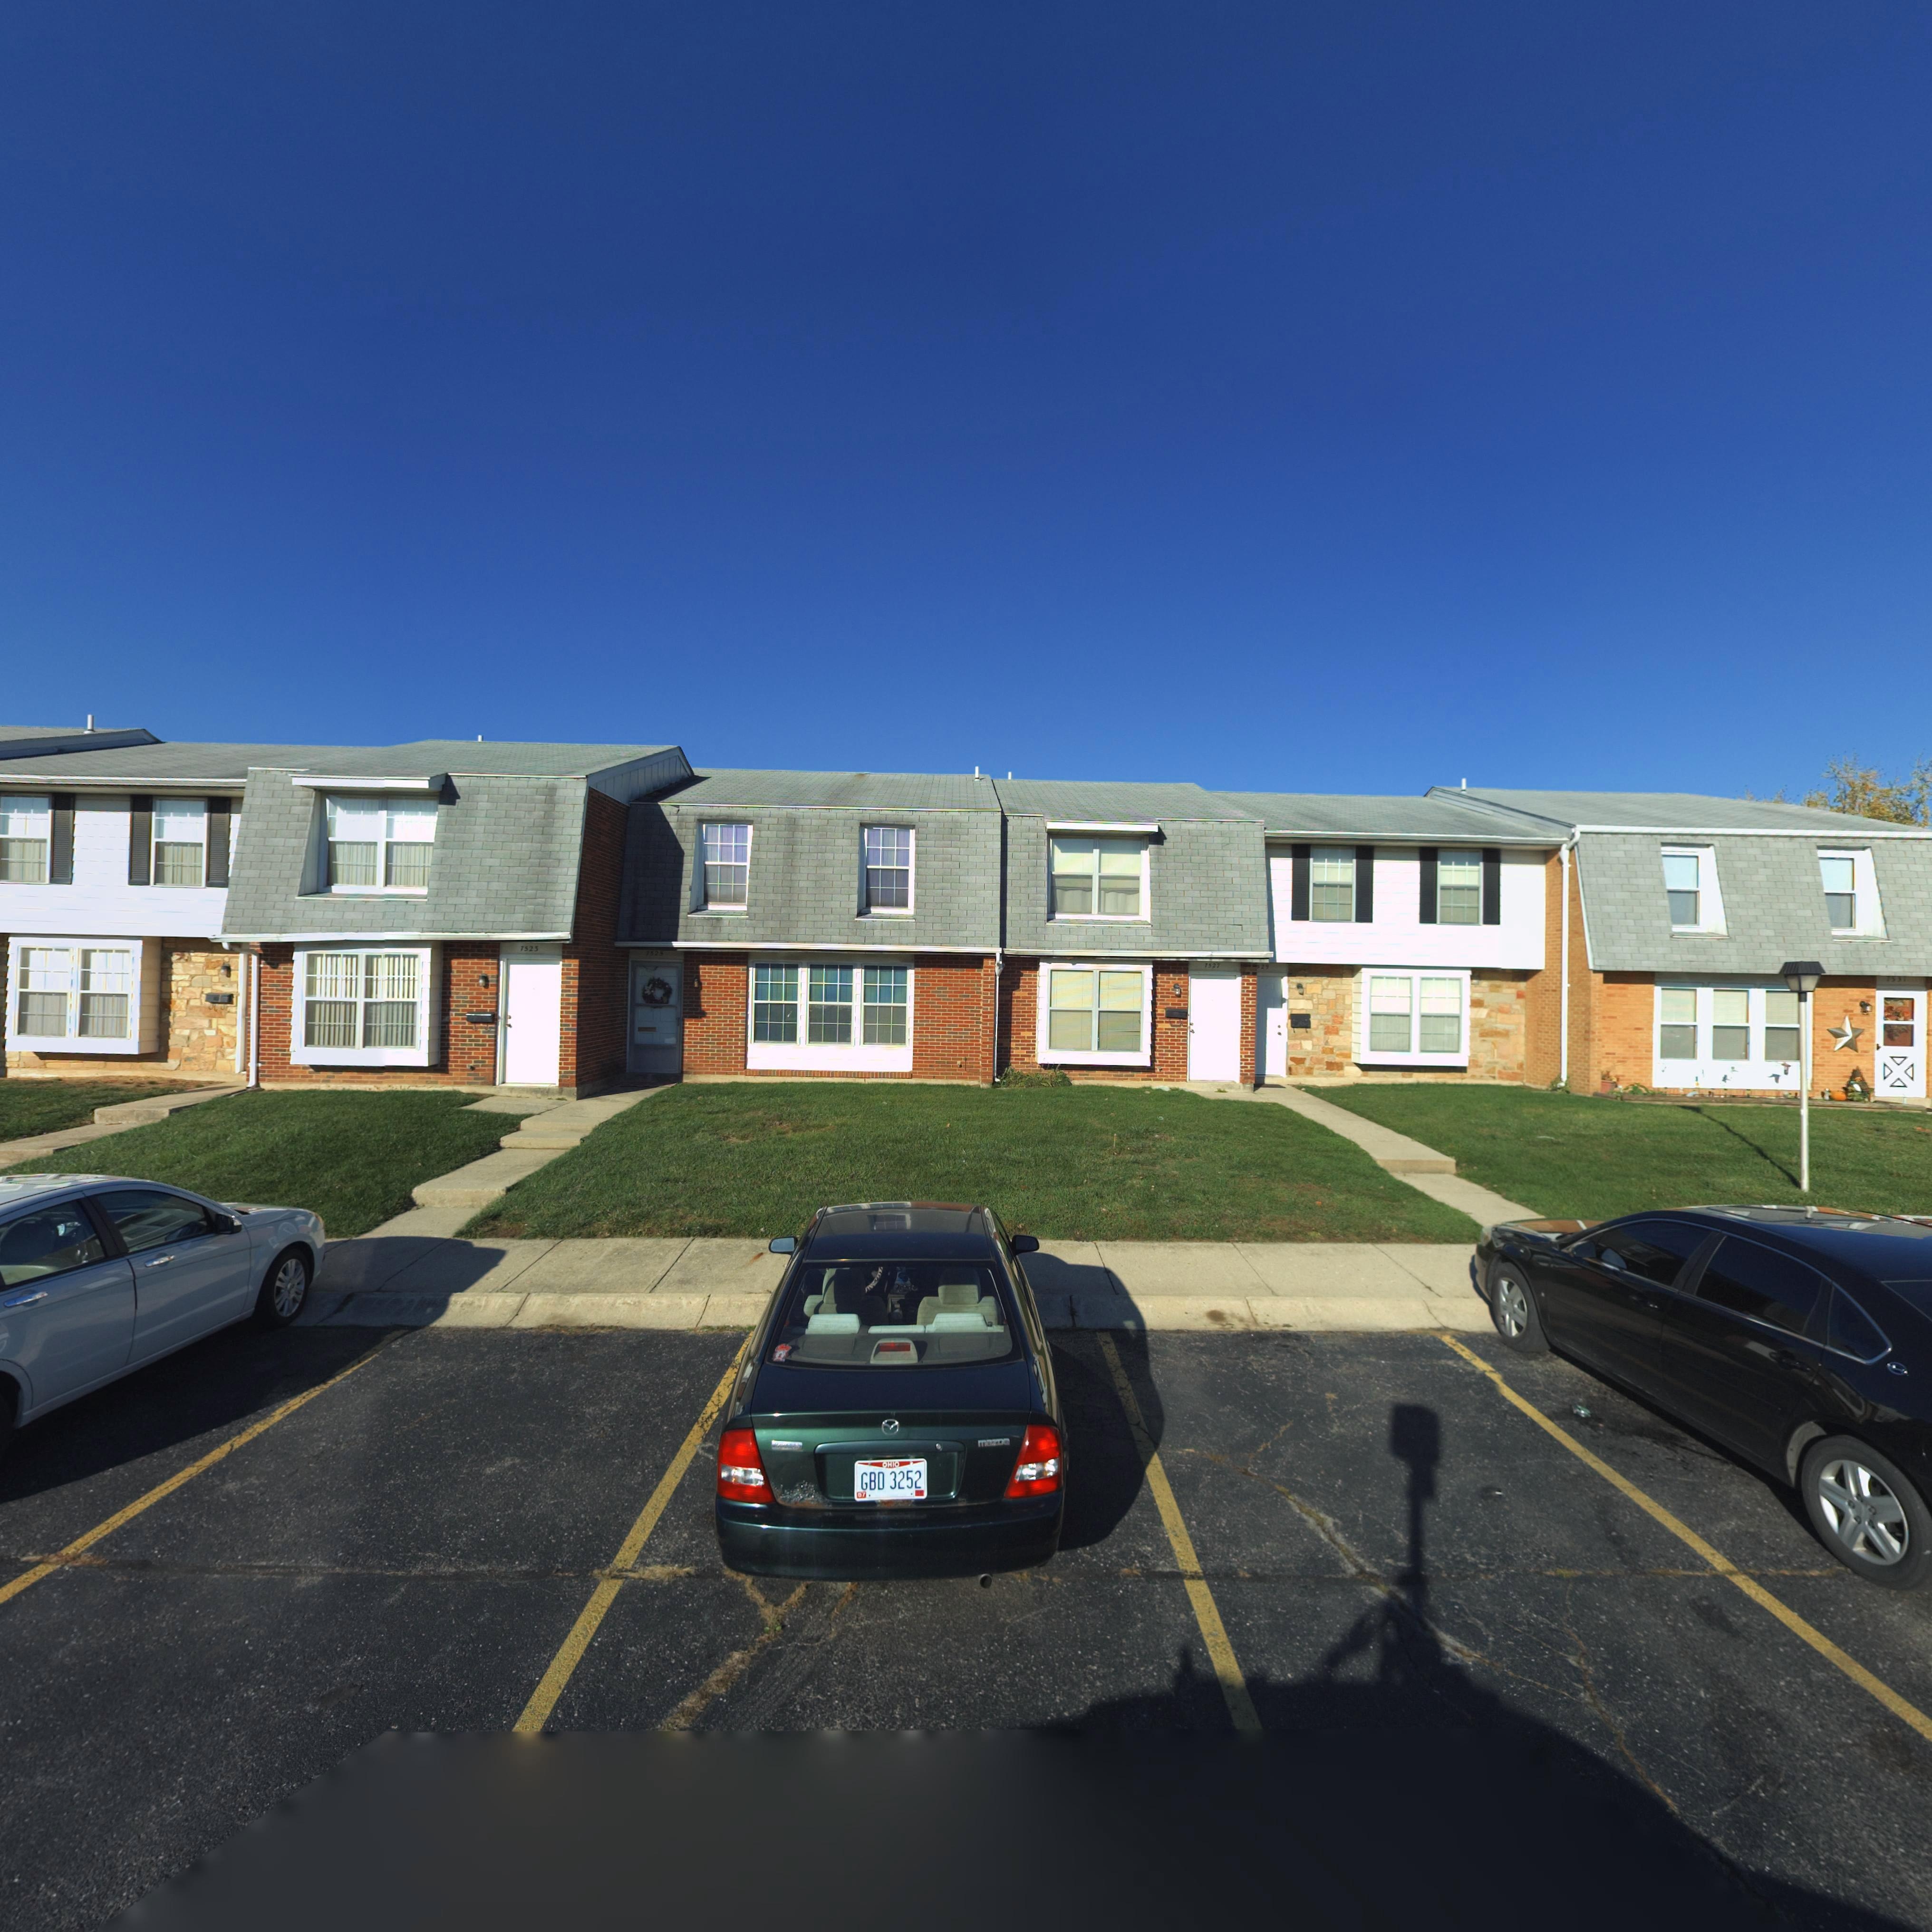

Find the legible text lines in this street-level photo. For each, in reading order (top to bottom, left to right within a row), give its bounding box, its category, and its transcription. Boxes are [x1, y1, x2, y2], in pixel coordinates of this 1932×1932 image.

[520, 945, 539, 952] StreetNumber: 7523
[646, 950, 664, 956] StreetNumber: 7525
[1204, 963, 1221, 968] StreetNumber: 7527
[1256, 964, 1269, 969] StreetNumber: 529
[1886, 976, 1906, 983] StreetNumber: 7531